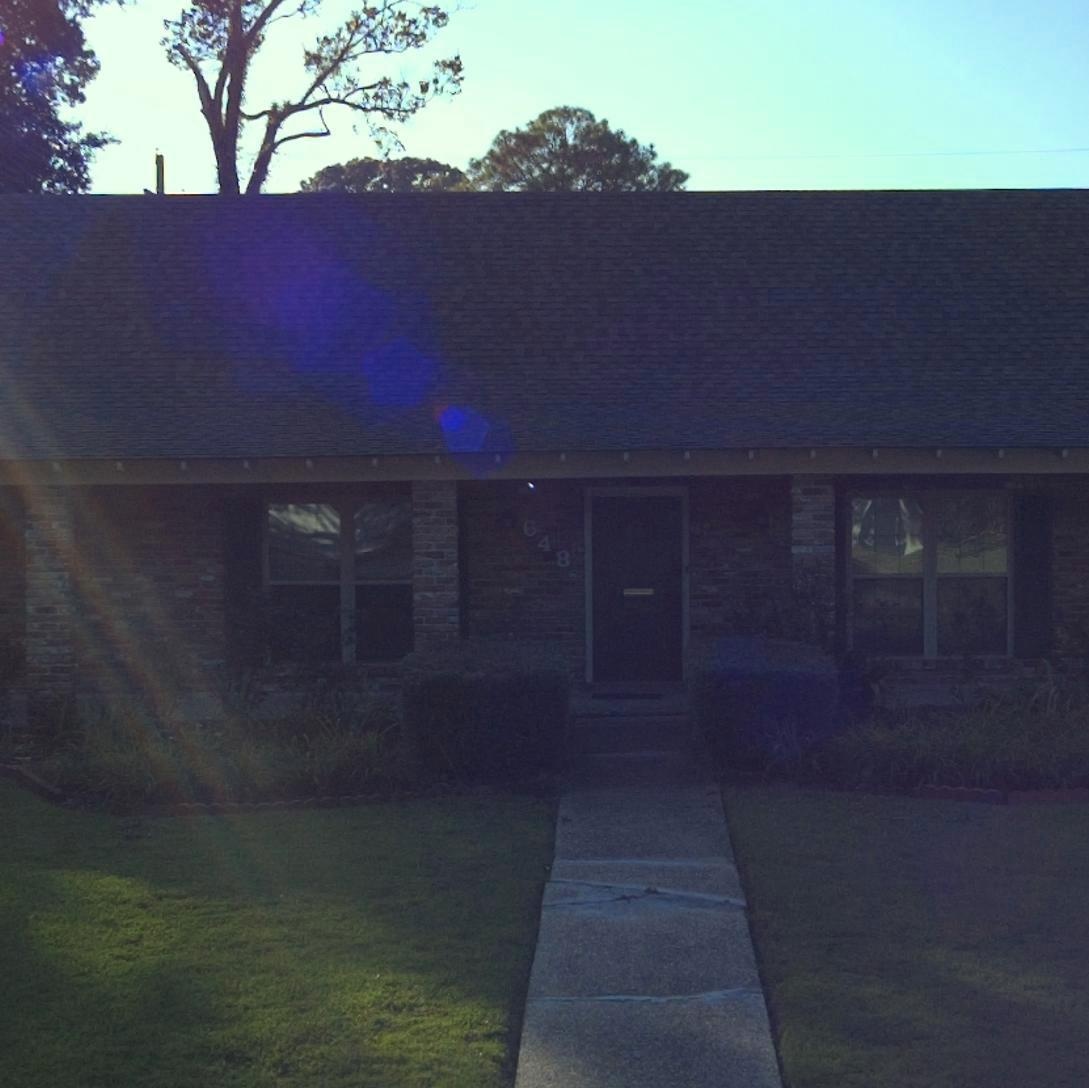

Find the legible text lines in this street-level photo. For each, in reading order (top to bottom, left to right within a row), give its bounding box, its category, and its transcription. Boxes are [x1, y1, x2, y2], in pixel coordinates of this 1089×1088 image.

[522, 519, 570, 568] StreetNumber: 648